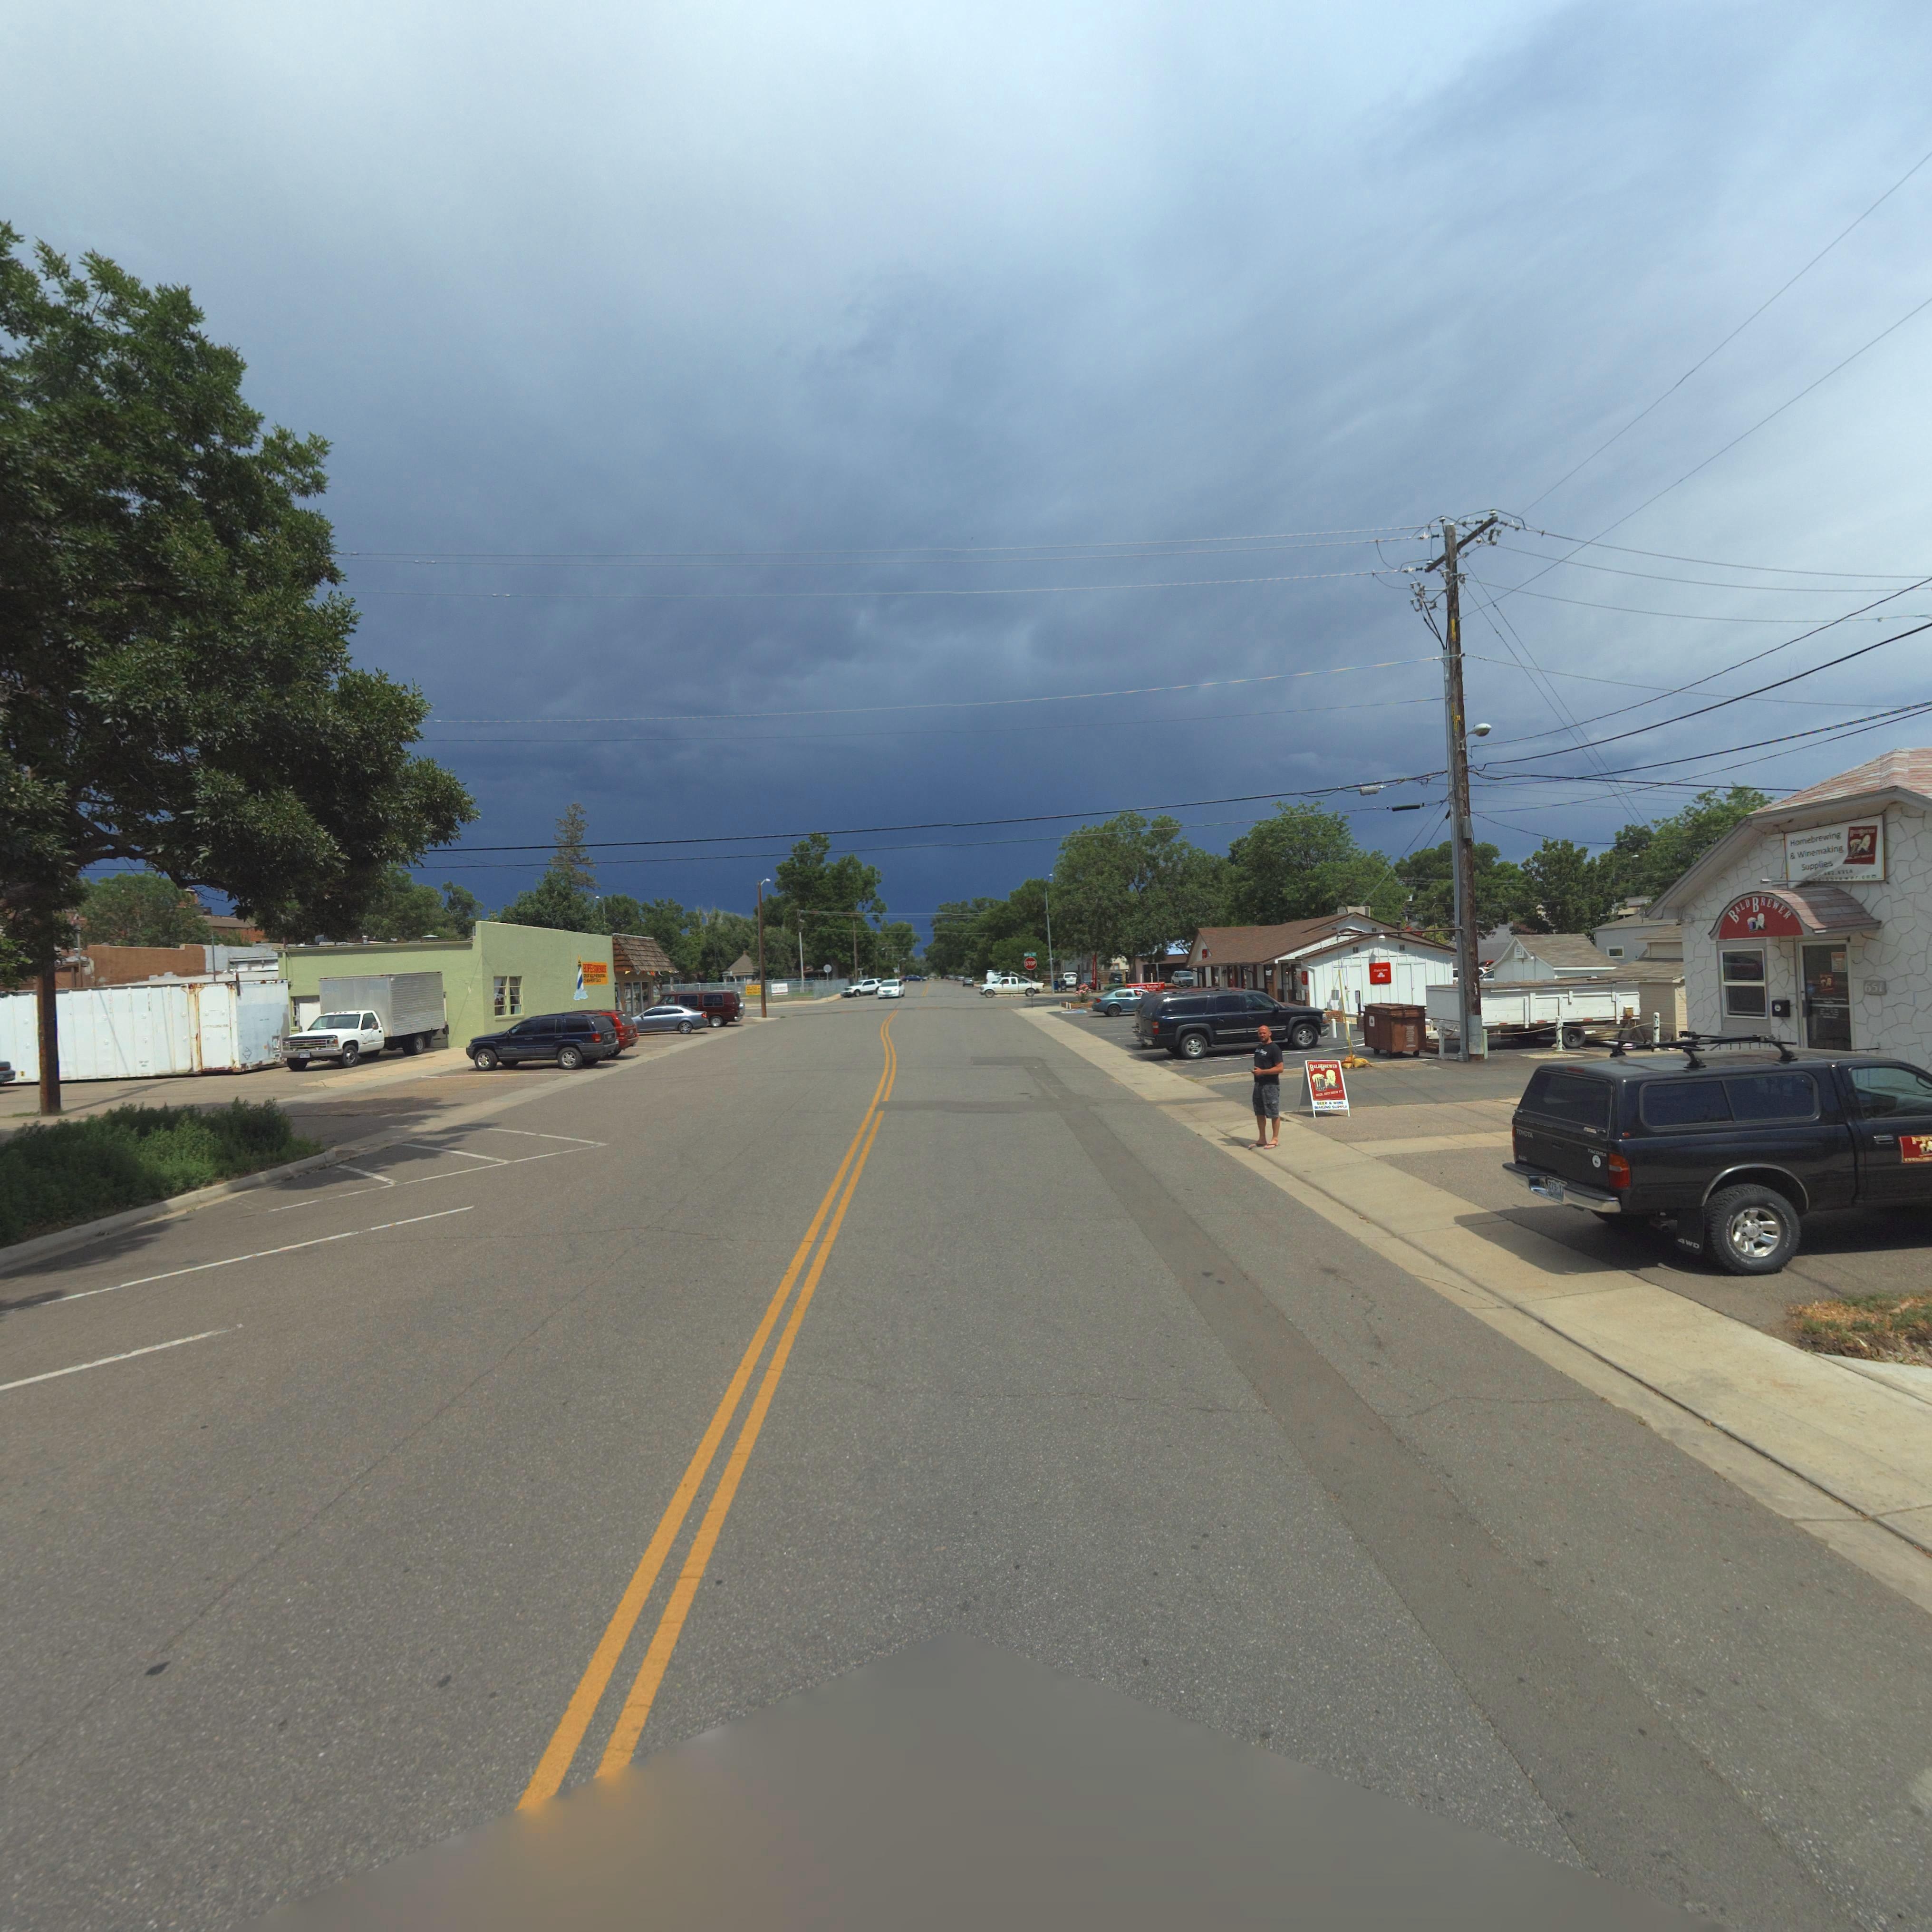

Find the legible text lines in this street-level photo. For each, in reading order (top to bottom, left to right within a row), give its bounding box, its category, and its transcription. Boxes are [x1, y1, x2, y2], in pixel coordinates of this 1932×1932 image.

[1726, 896, 1793, 925] BusinessName: BALDBREWER
[1372, 968, 1388, 972] BusinessName: StateFarm
[1864, 981, 1883, 993] StreetNumber: 651
[1309, 1064, 1337, 1072] BusinessName: BALDBREWER